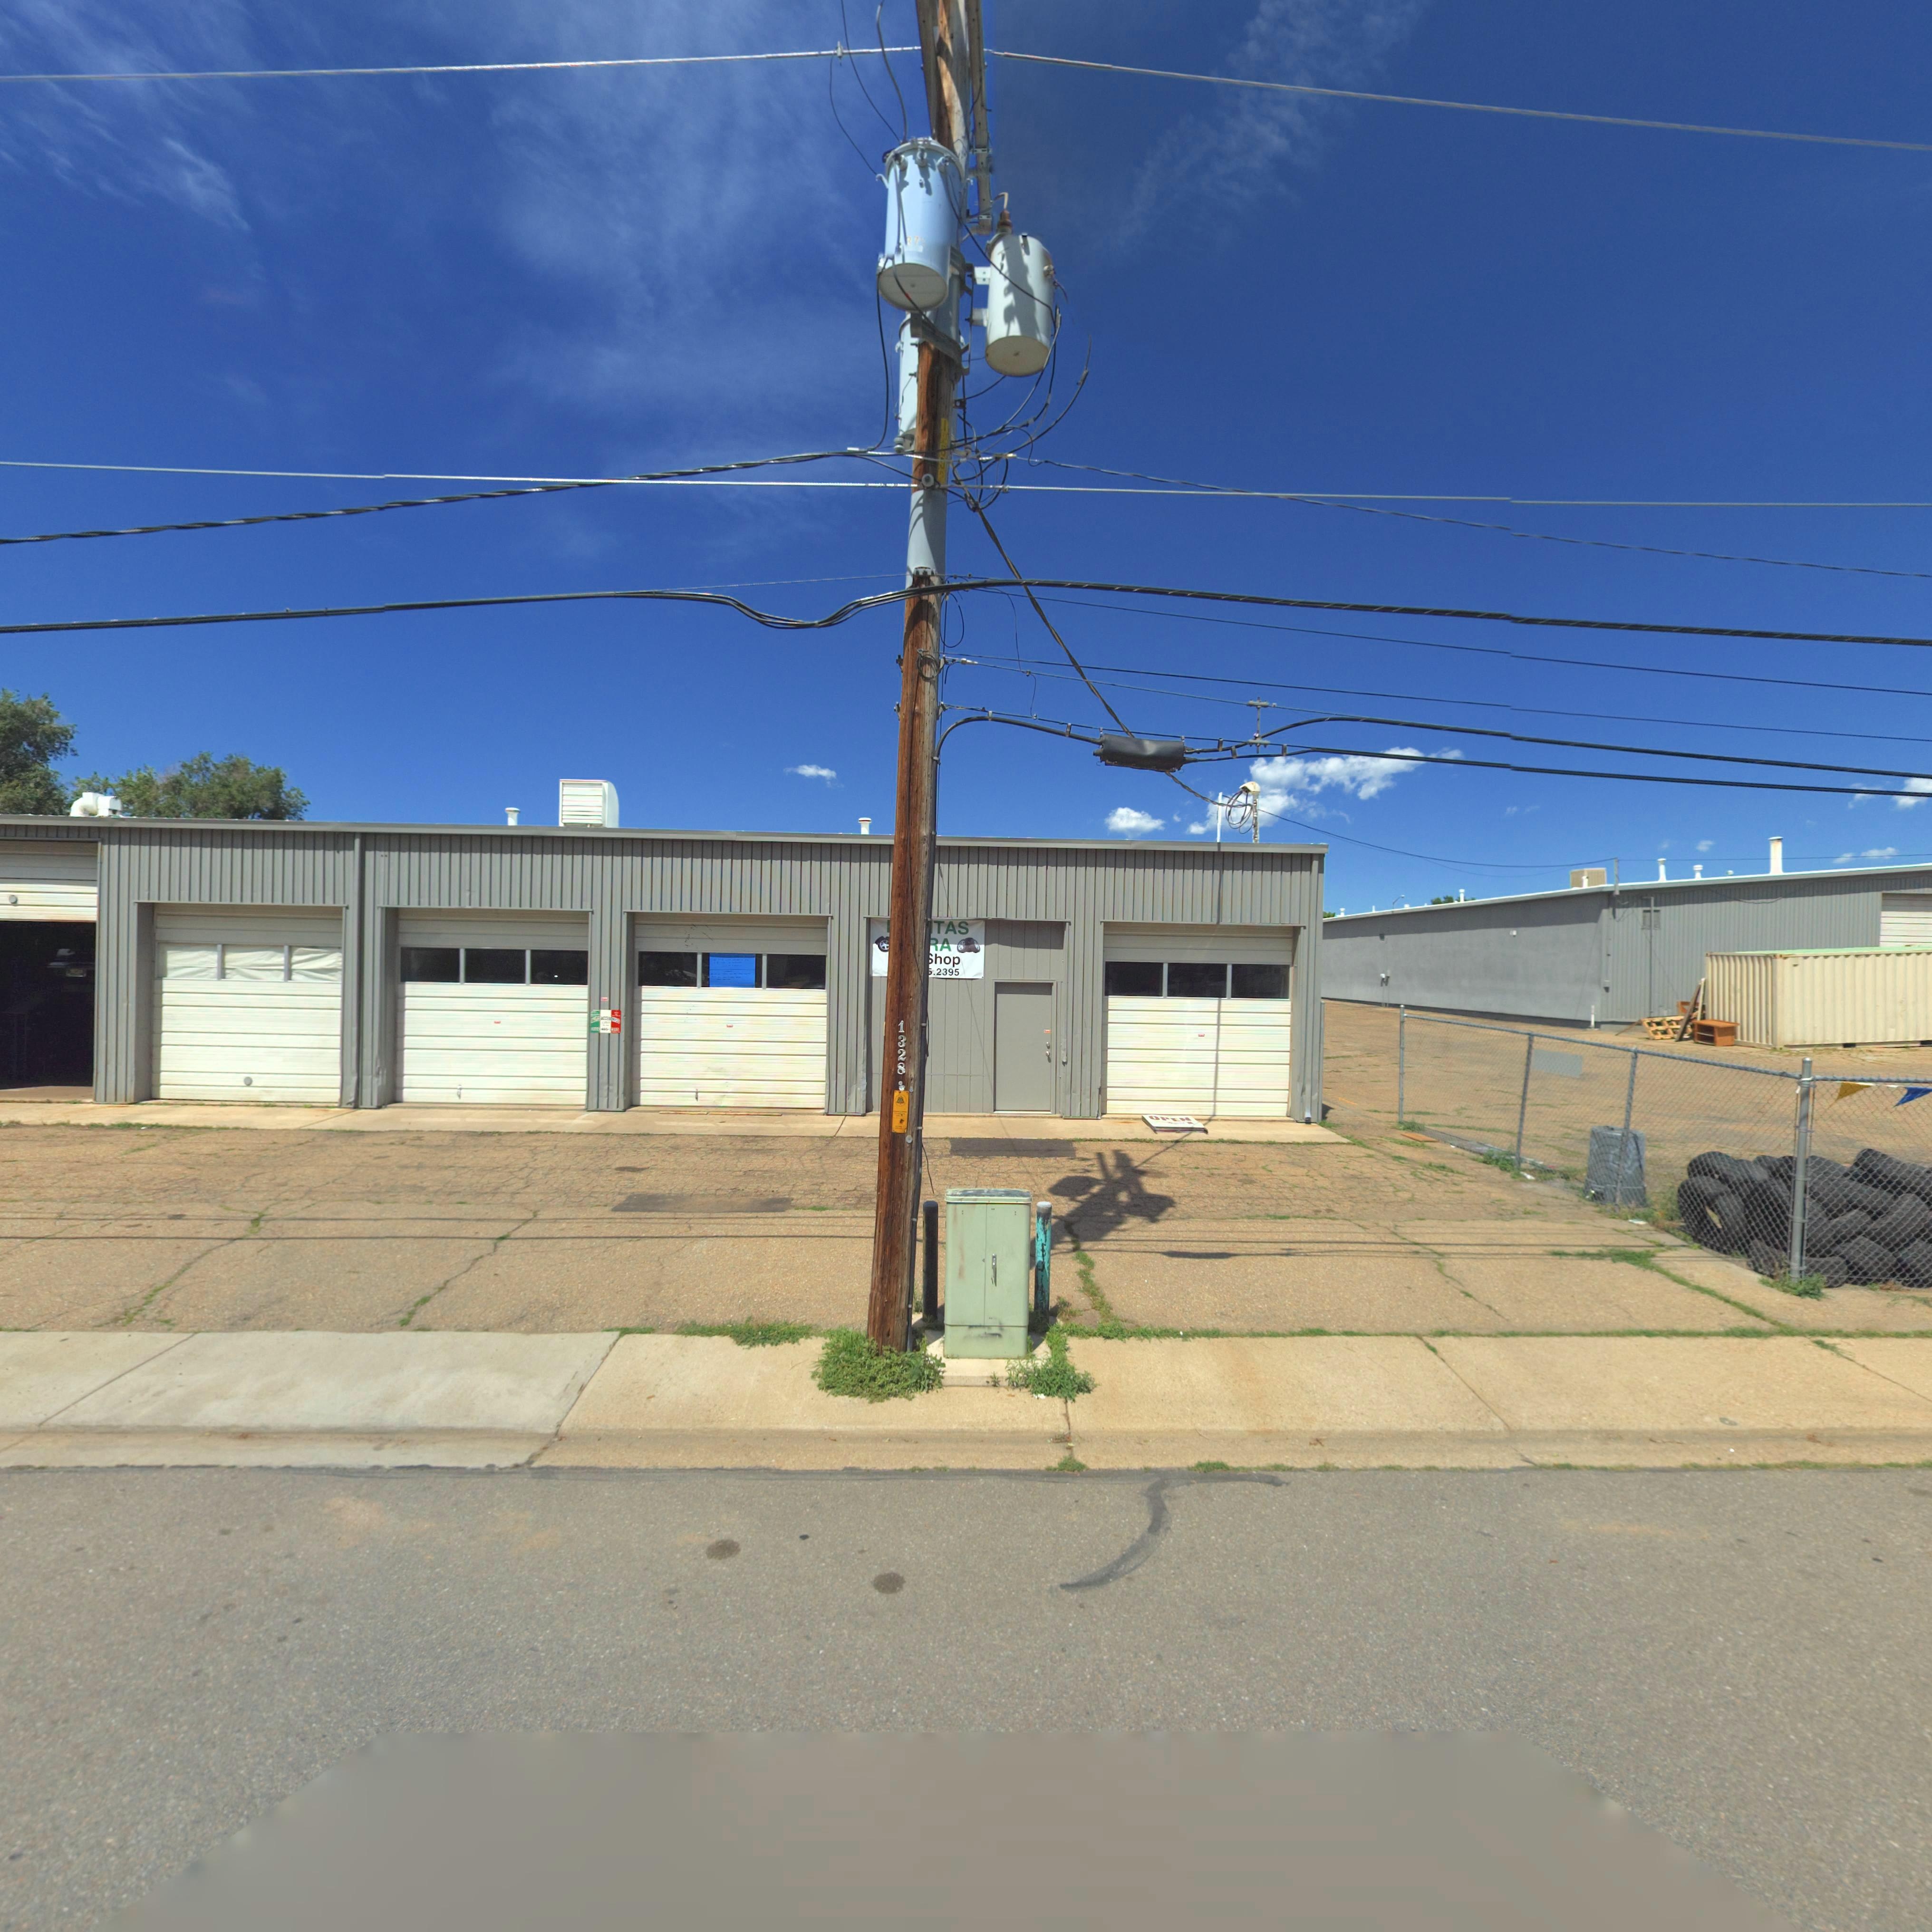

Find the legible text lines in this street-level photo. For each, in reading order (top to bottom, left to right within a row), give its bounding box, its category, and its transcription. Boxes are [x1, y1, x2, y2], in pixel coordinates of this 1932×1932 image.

[933, 919, 969, 935] BusinessName: TAS
[929, 937, 952, 952] BusinessName: *A
[928, 952, 961, 968] BusinessName: *hop
[589, 1015, 620, 1024] BusinessName: **** *CC***R*O*